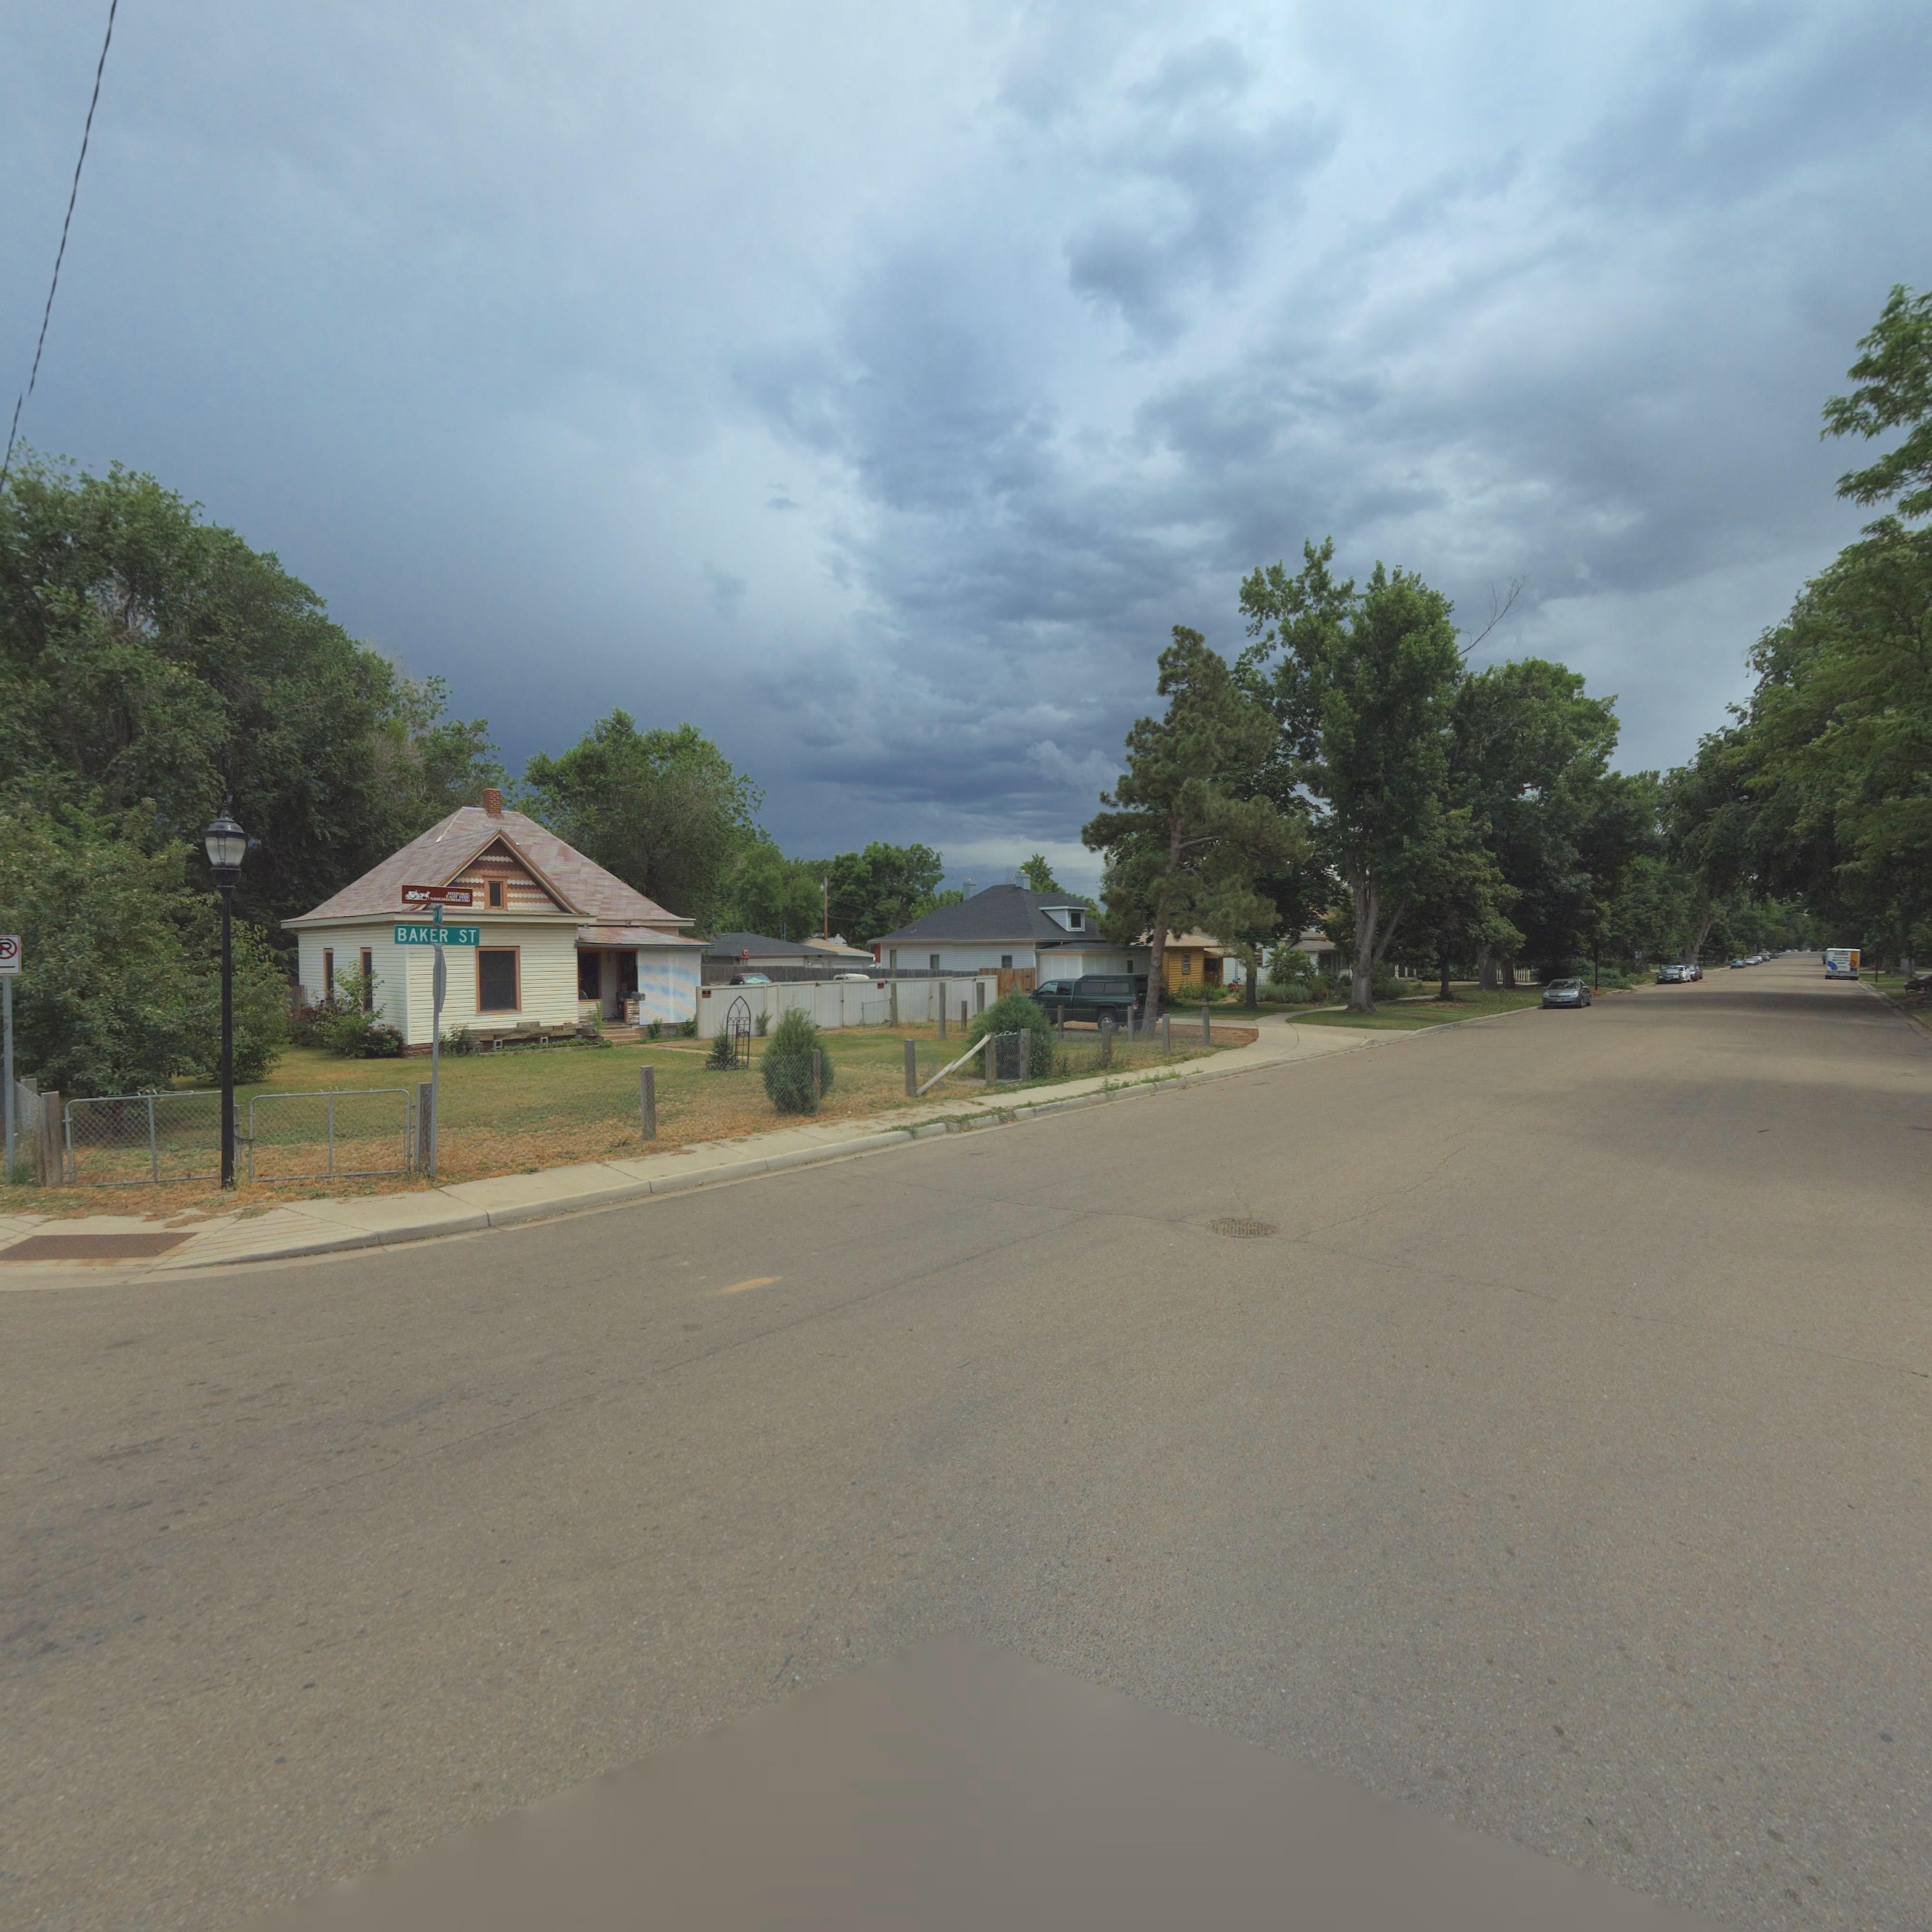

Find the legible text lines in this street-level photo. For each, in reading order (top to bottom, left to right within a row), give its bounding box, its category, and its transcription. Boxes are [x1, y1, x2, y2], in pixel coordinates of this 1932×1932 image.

[397, 927, 477, 943] StreetName: BAKER ST
[738, 1032, 748, 1037] StreetNumber: 8**